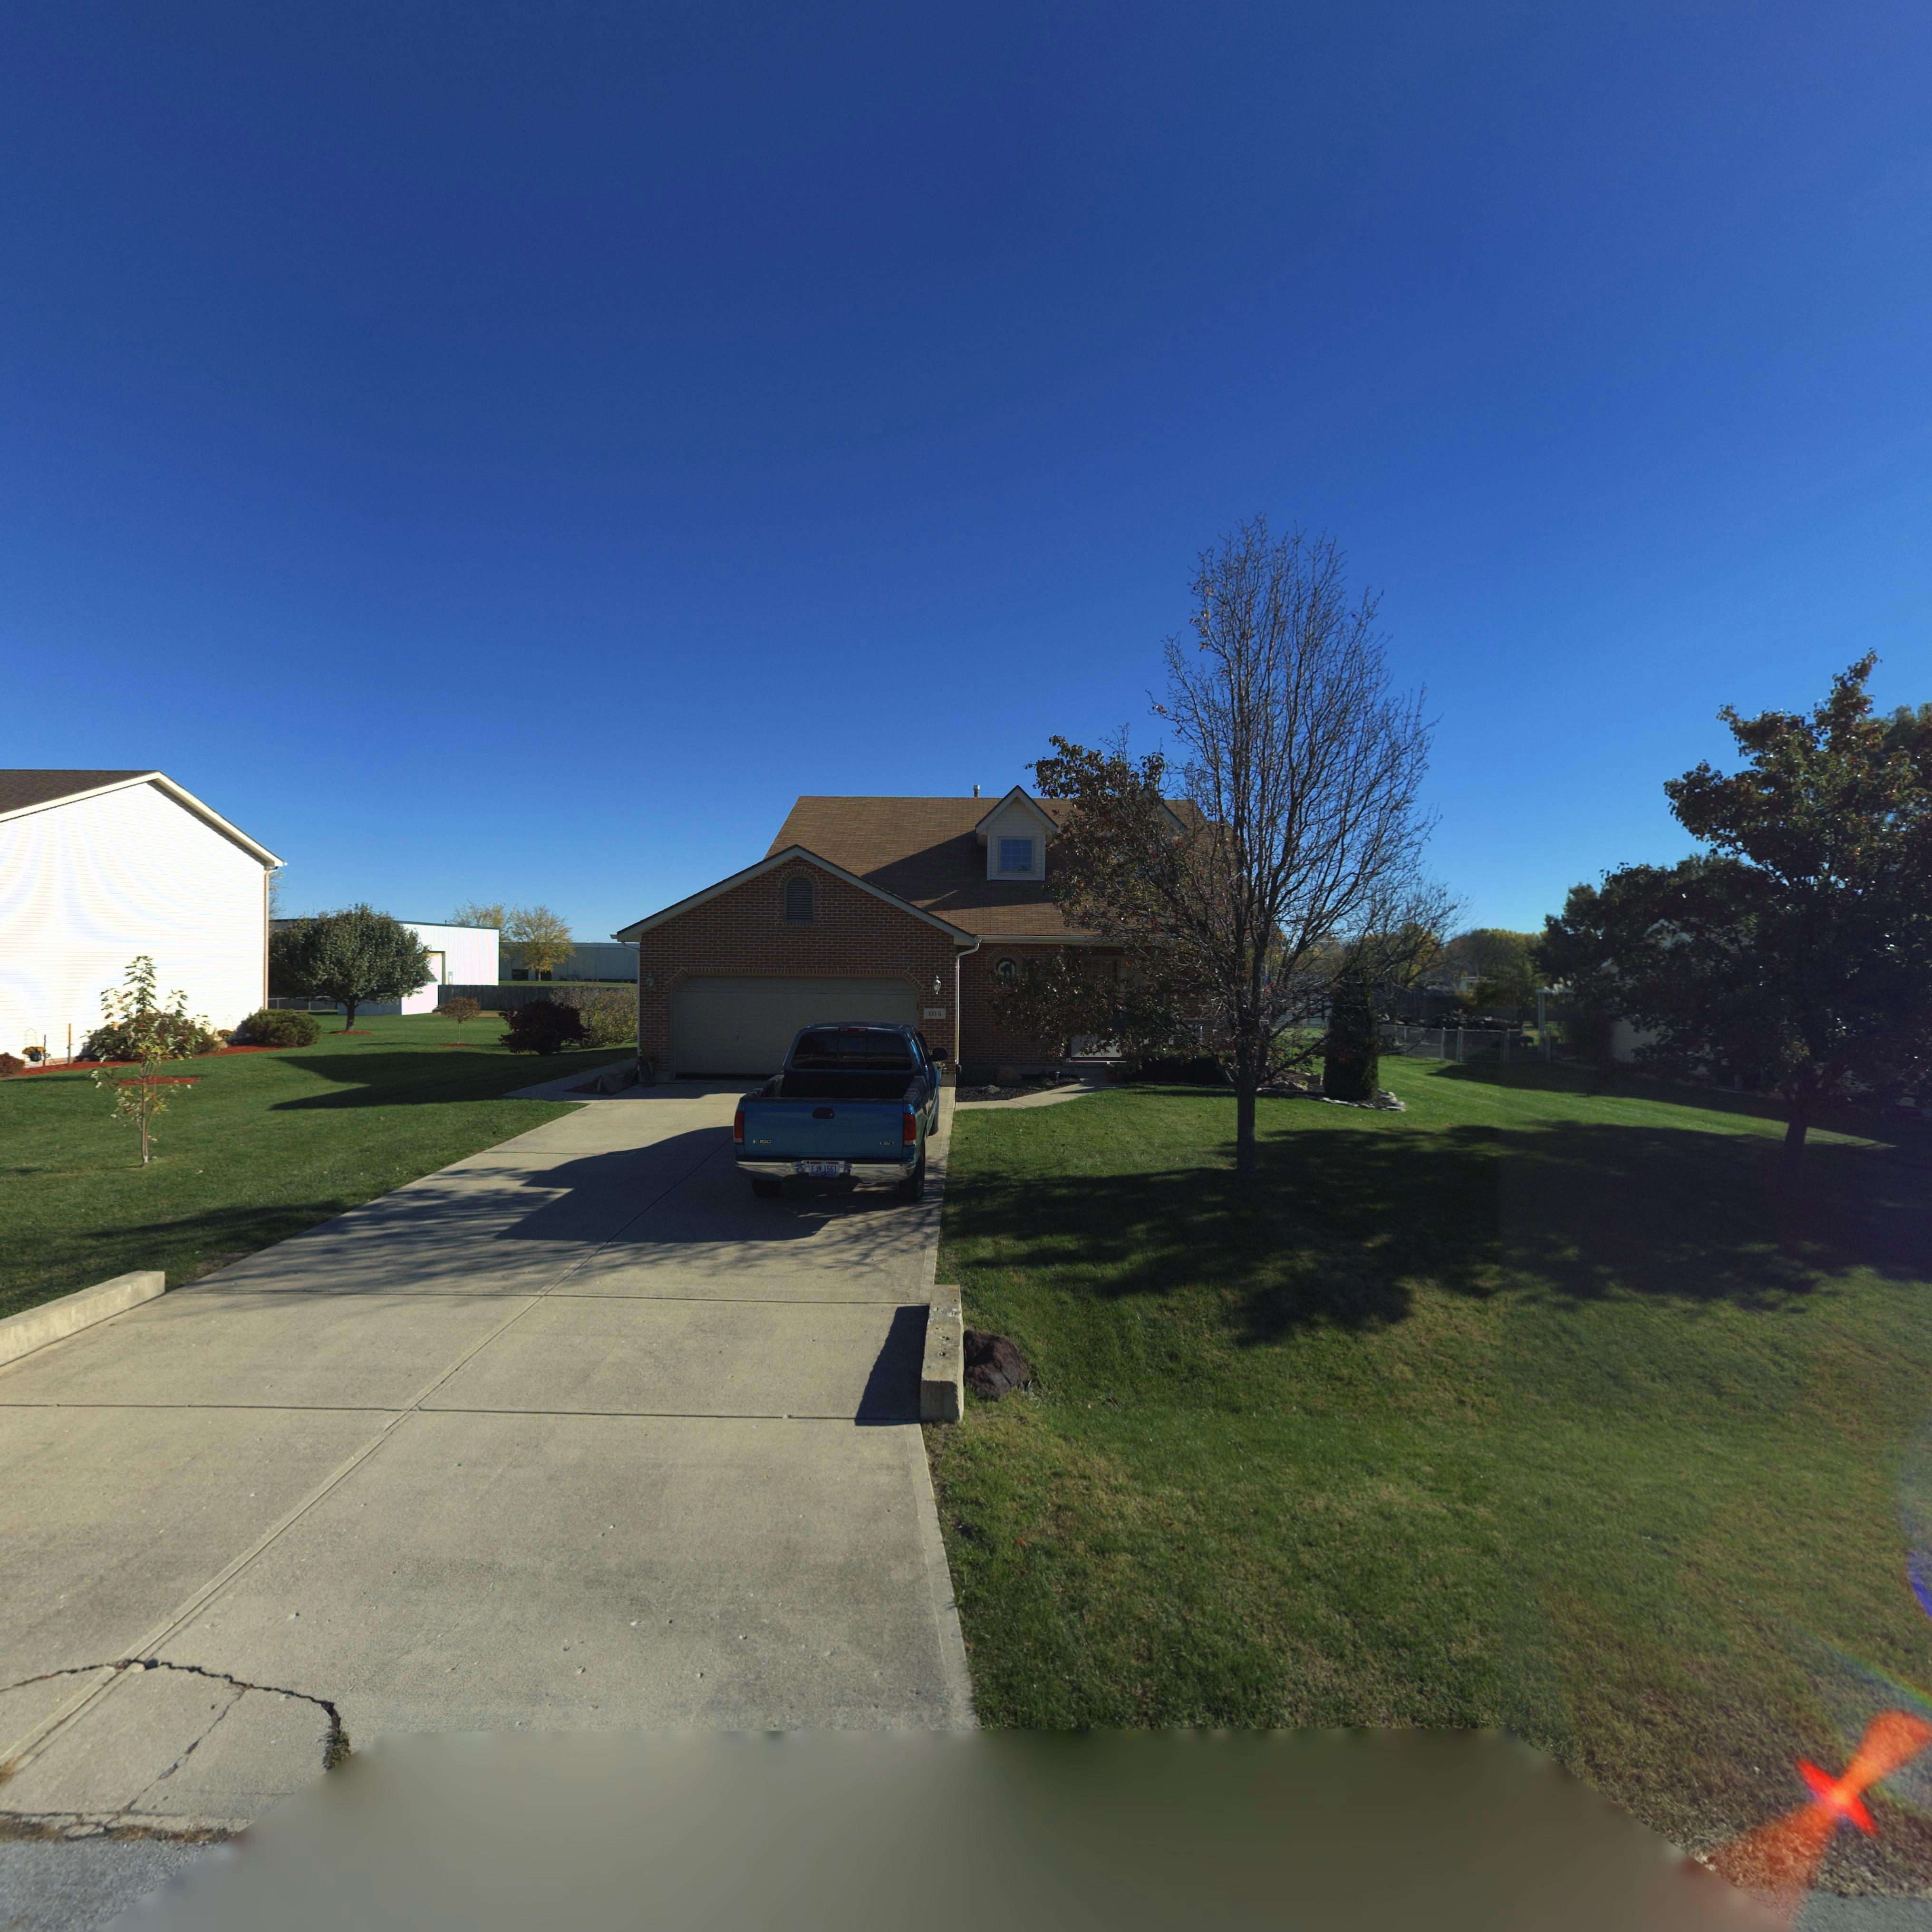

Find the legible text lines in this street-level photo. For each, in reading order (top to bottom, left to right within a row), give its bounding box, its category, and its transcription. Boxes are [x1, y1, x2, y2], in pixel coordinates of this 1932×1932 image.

[927, 1010, 942, 1017] StreetNumber: 105